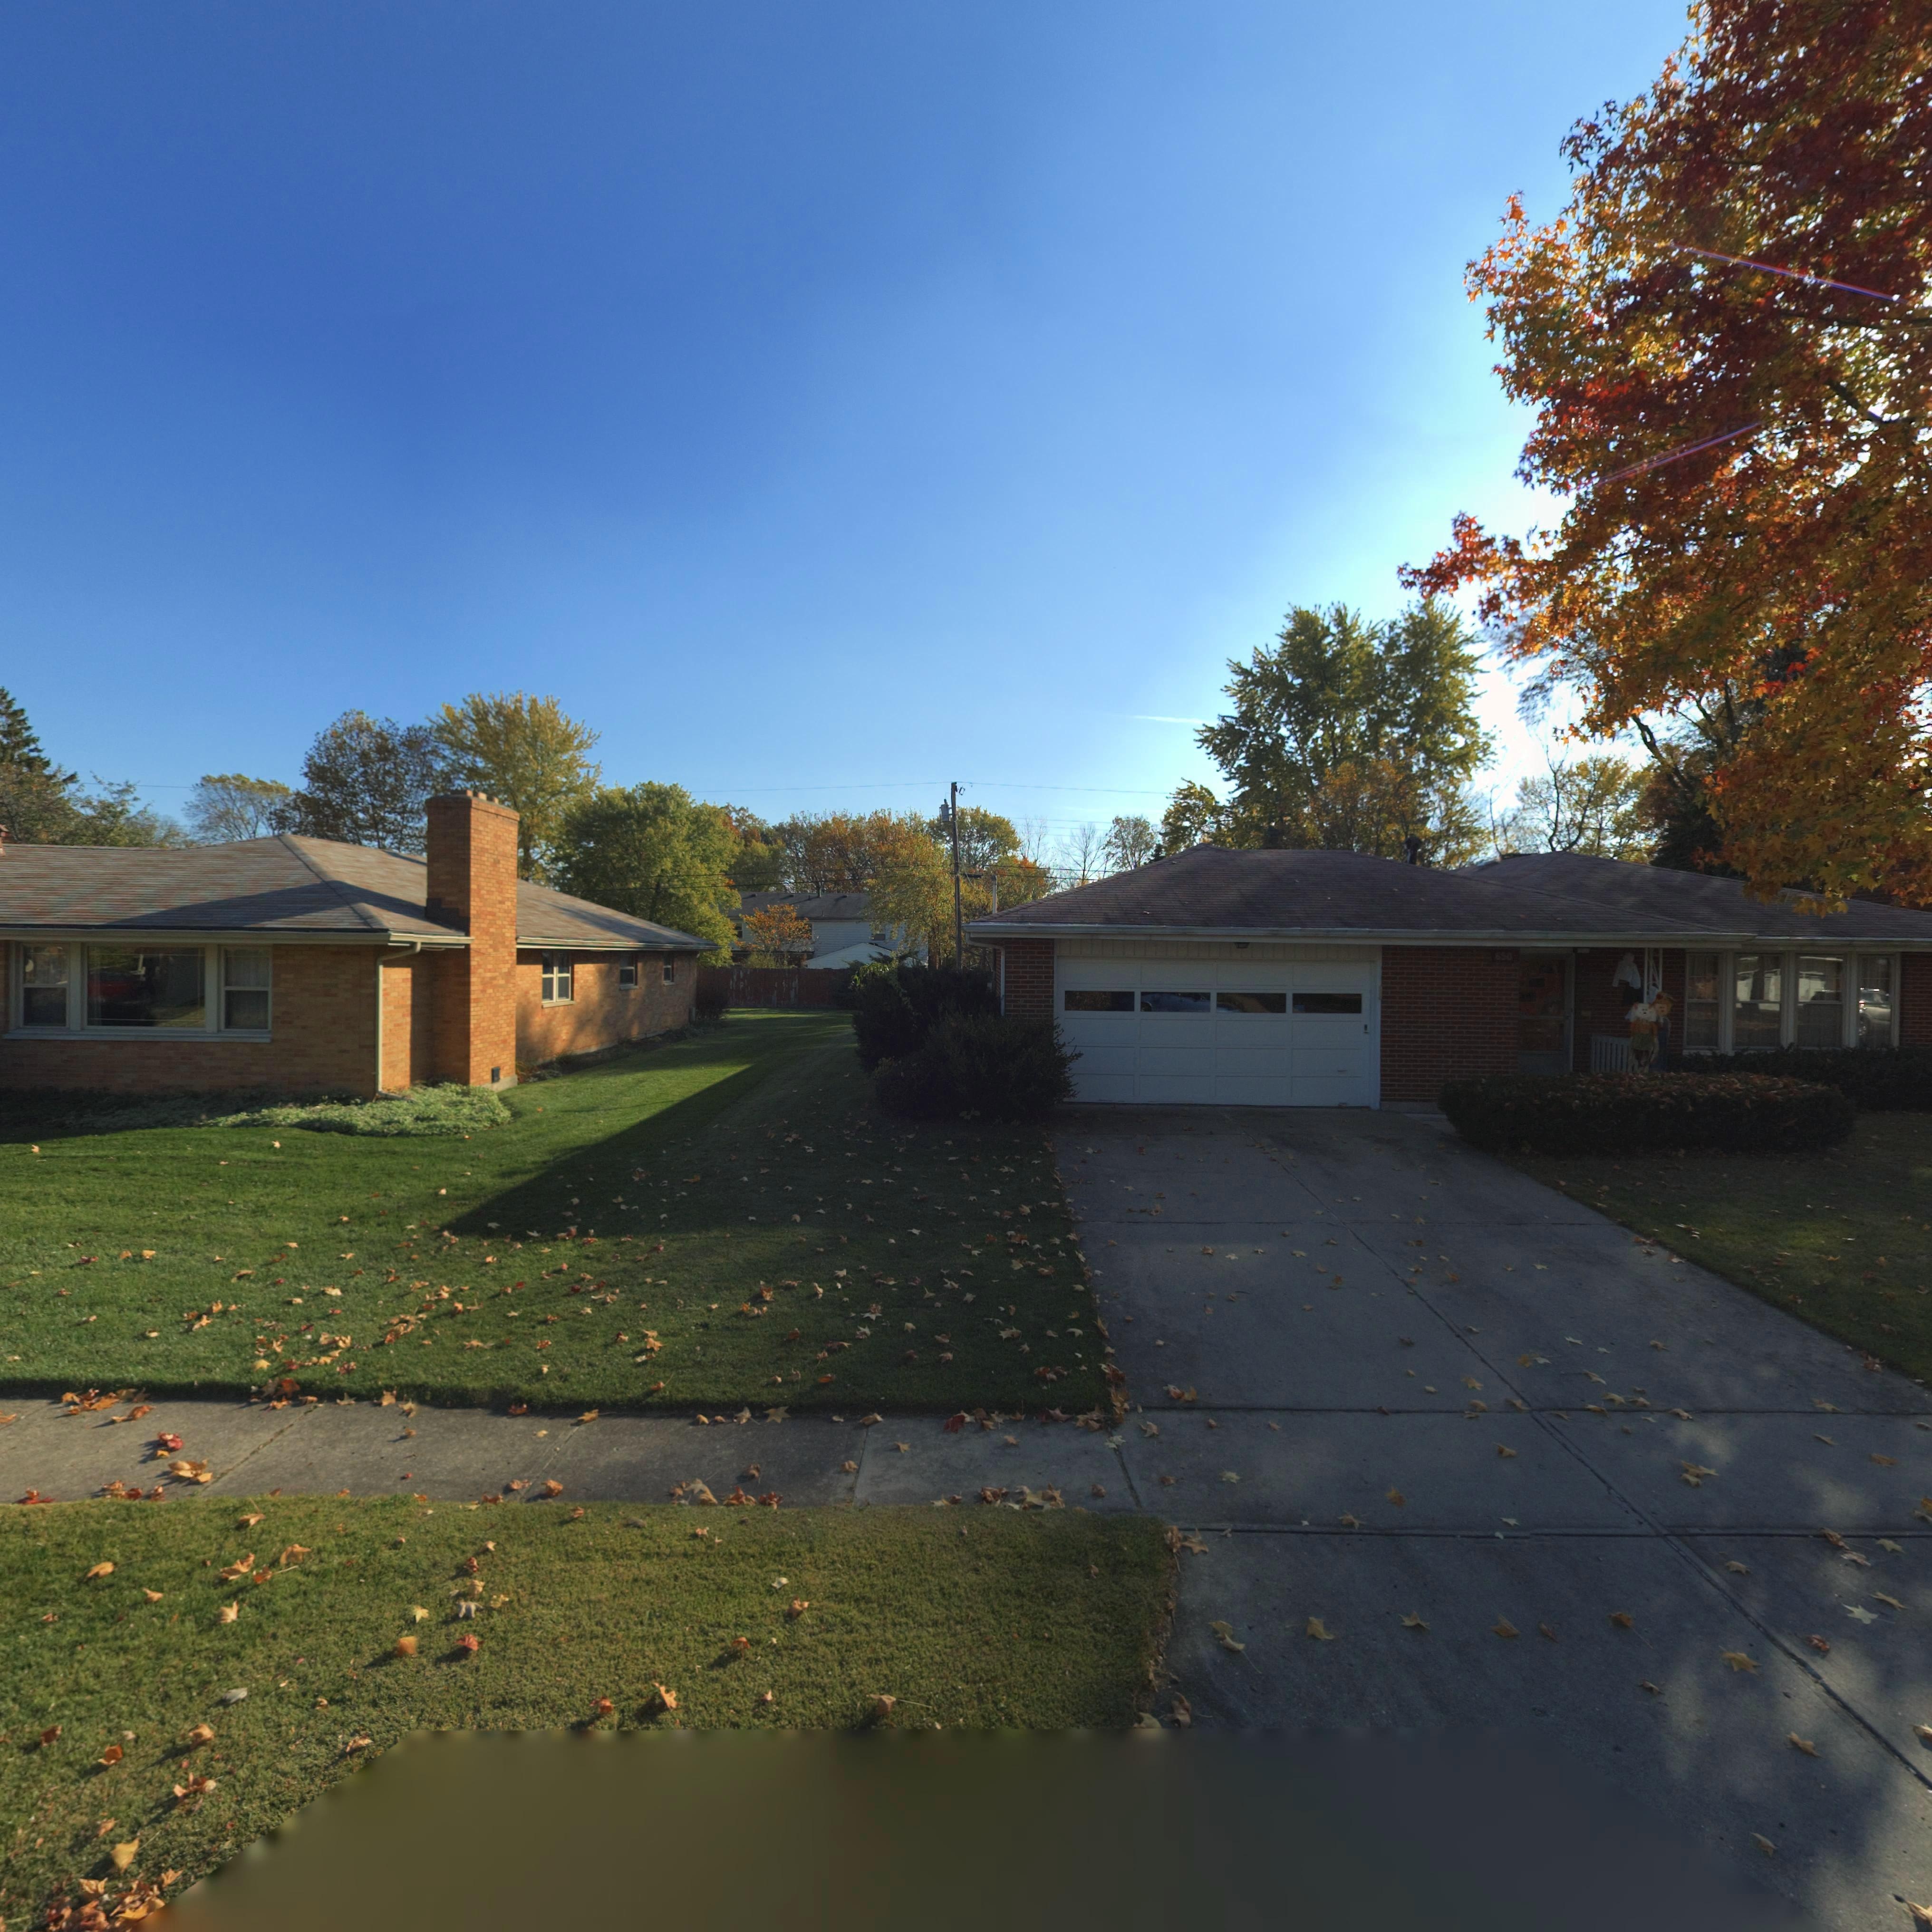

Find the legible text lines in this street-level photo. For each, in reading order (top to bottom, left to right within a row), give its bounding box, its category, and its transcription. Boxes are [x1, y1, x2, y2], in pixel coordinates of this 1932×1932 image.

[1495, 950, 1513, 960] StreetNumber: 650